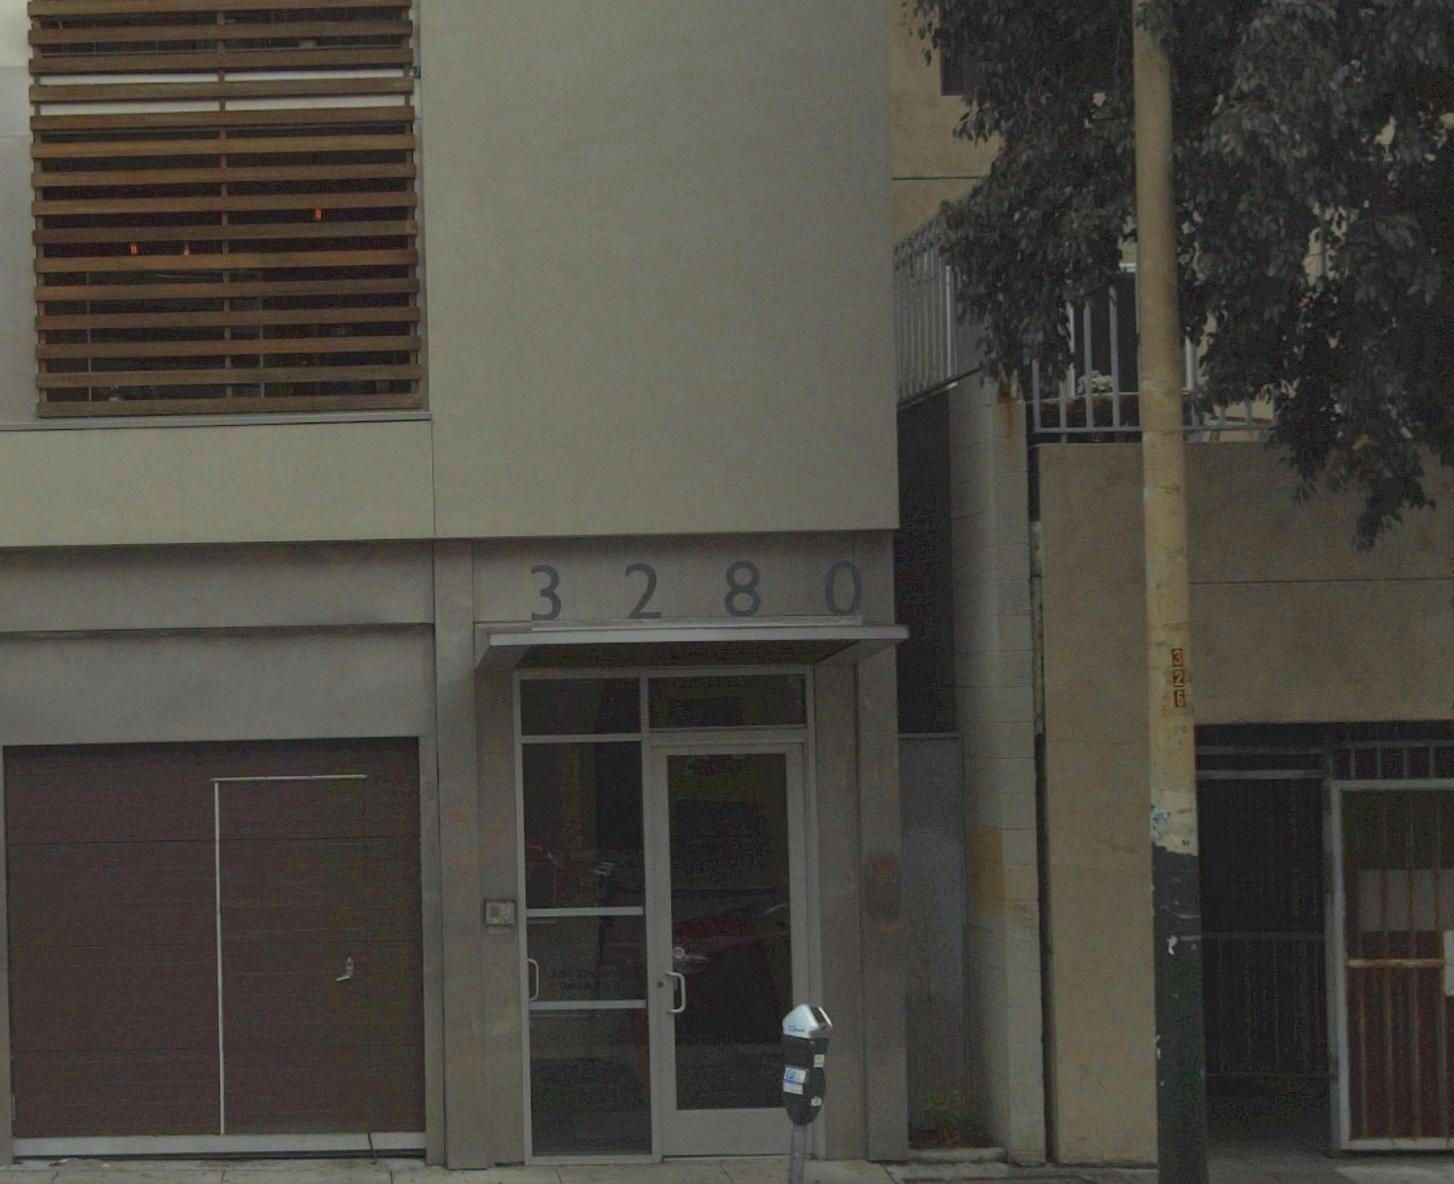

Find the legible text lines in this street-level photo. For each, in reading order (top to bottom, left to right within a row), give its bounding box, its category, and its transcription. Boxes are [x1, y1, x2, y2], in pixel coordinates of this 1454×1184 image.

[528, 560, 865, 622] StreetNumber: 3280
[1170, 647, 1186, 708] None: 326